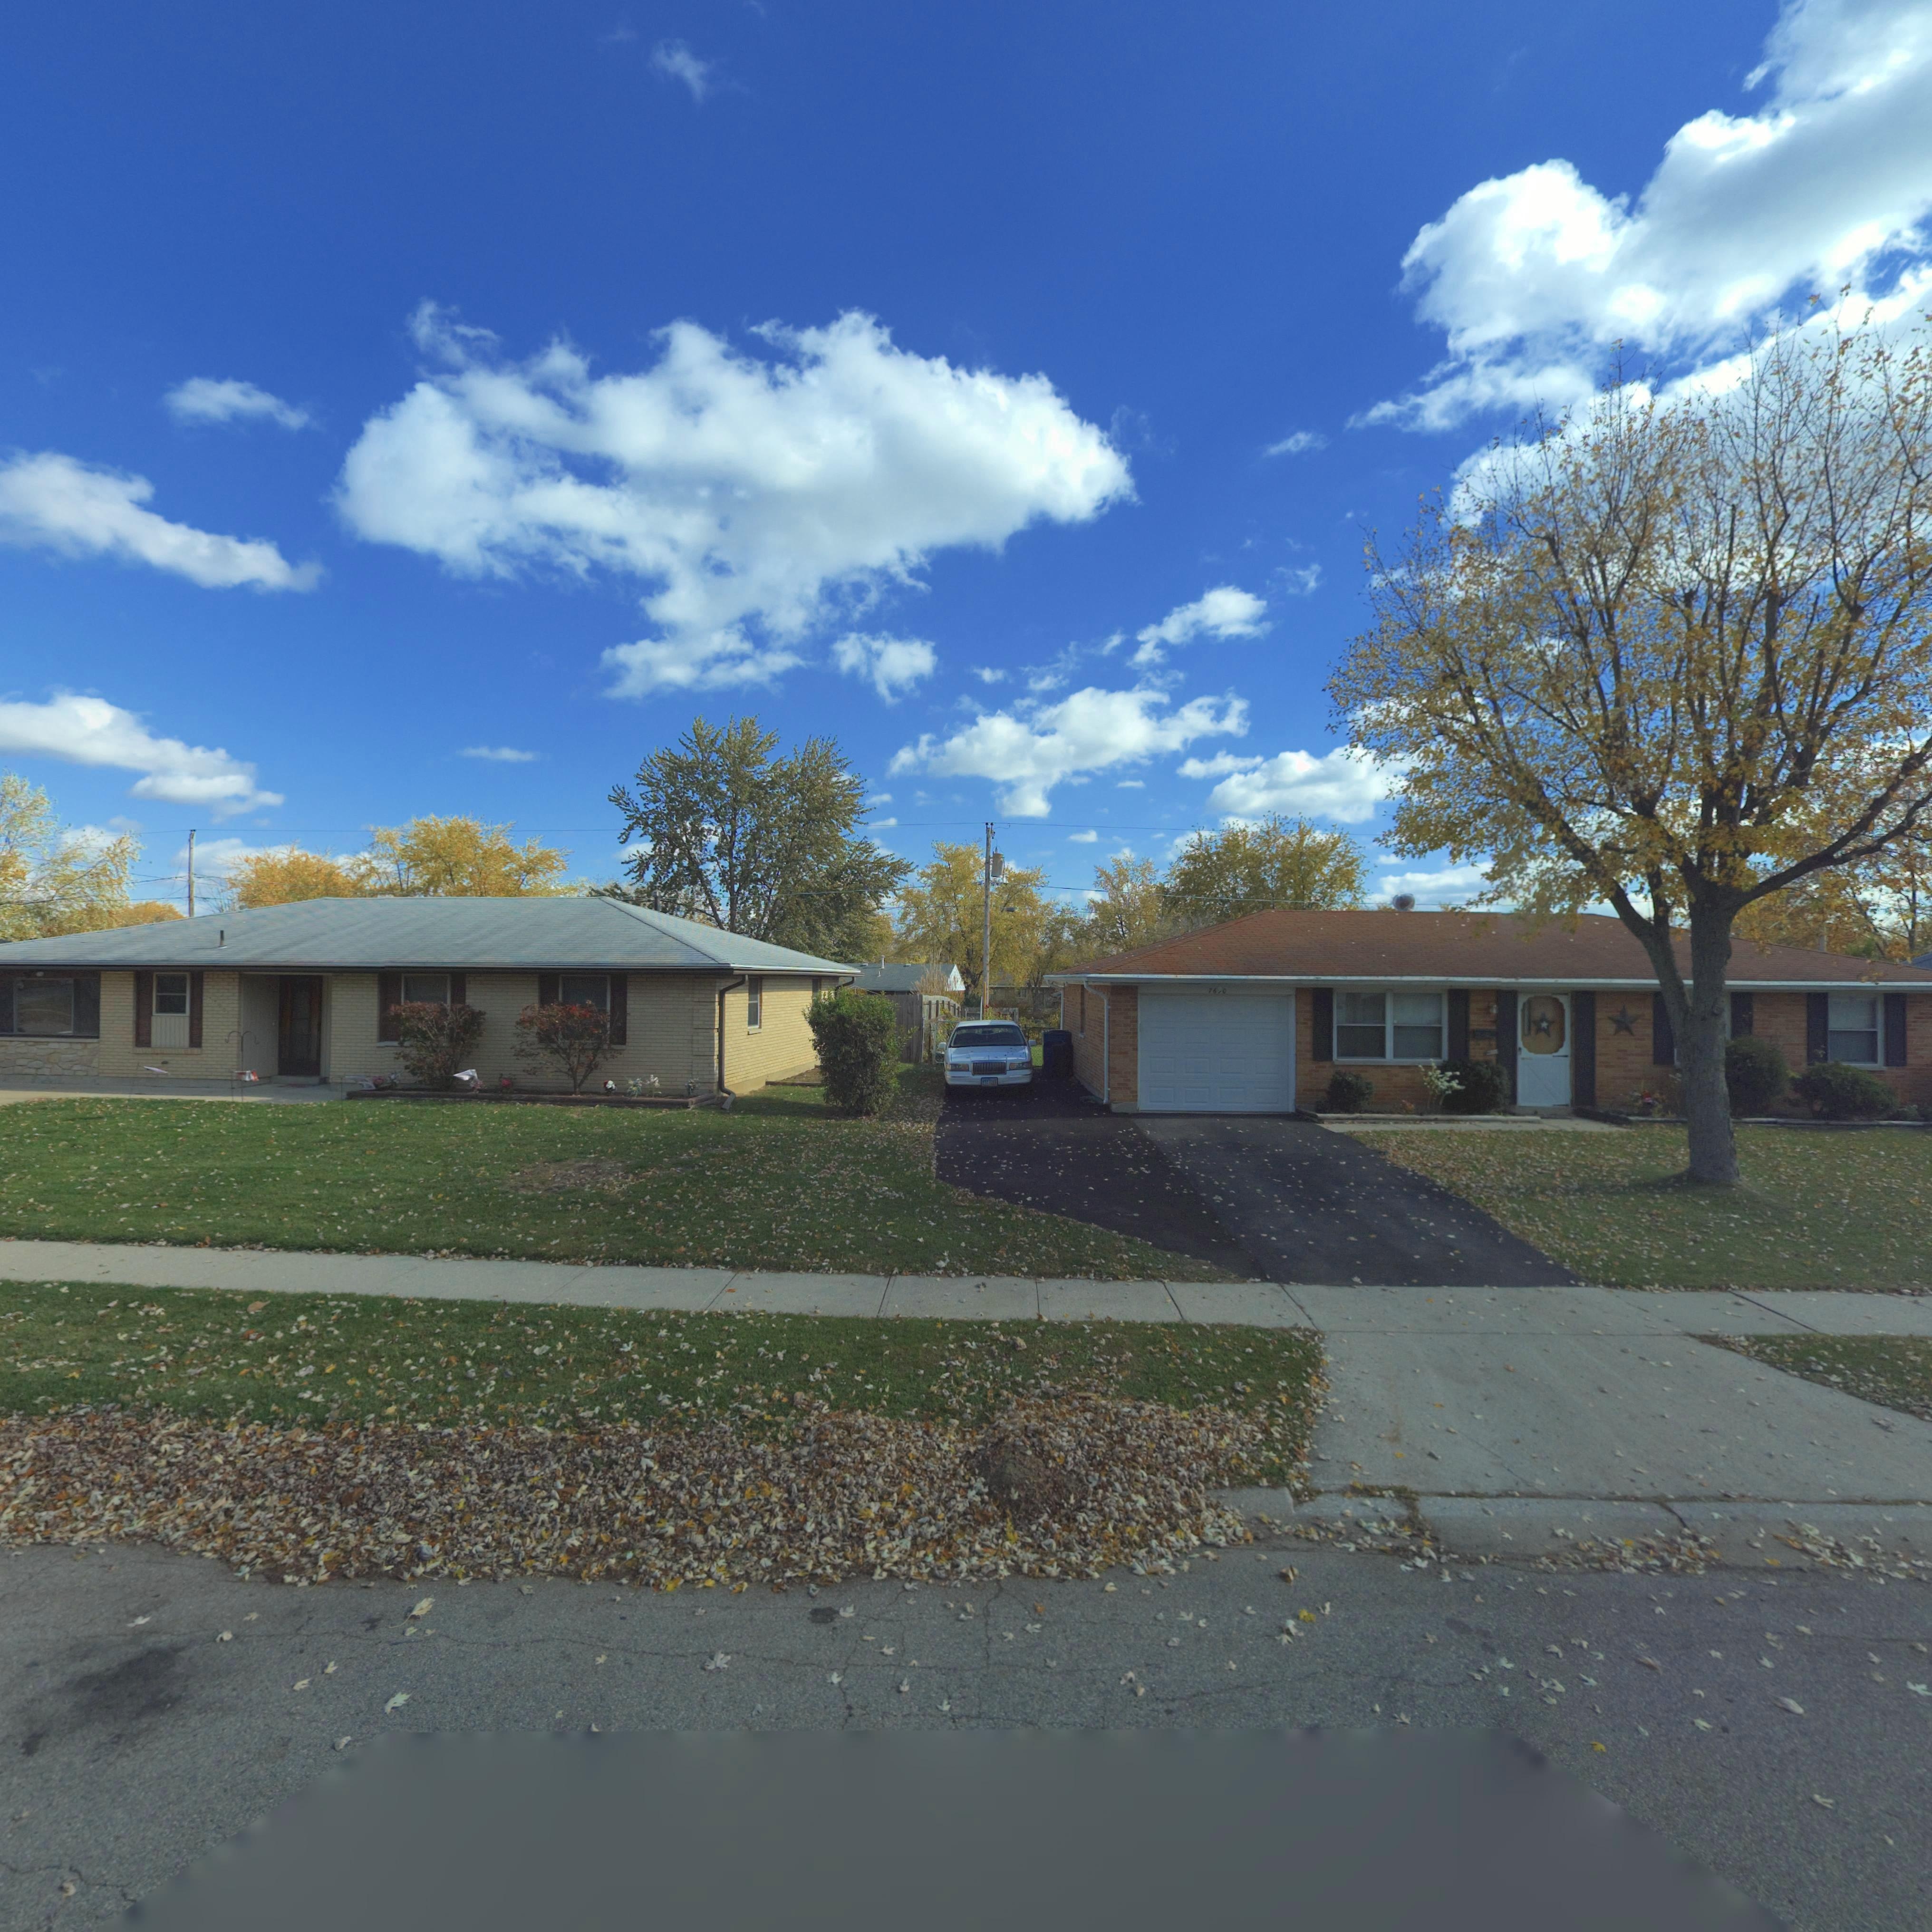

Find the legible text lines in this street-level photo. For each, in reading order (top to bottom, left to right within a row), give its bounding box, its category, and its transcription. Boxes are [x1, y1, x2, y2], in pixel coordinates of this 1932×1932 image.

[1208, 987, 1227, 994] StreetNumber: 76*0
[207, 996, 226, 1013] StreetNumber: 7700